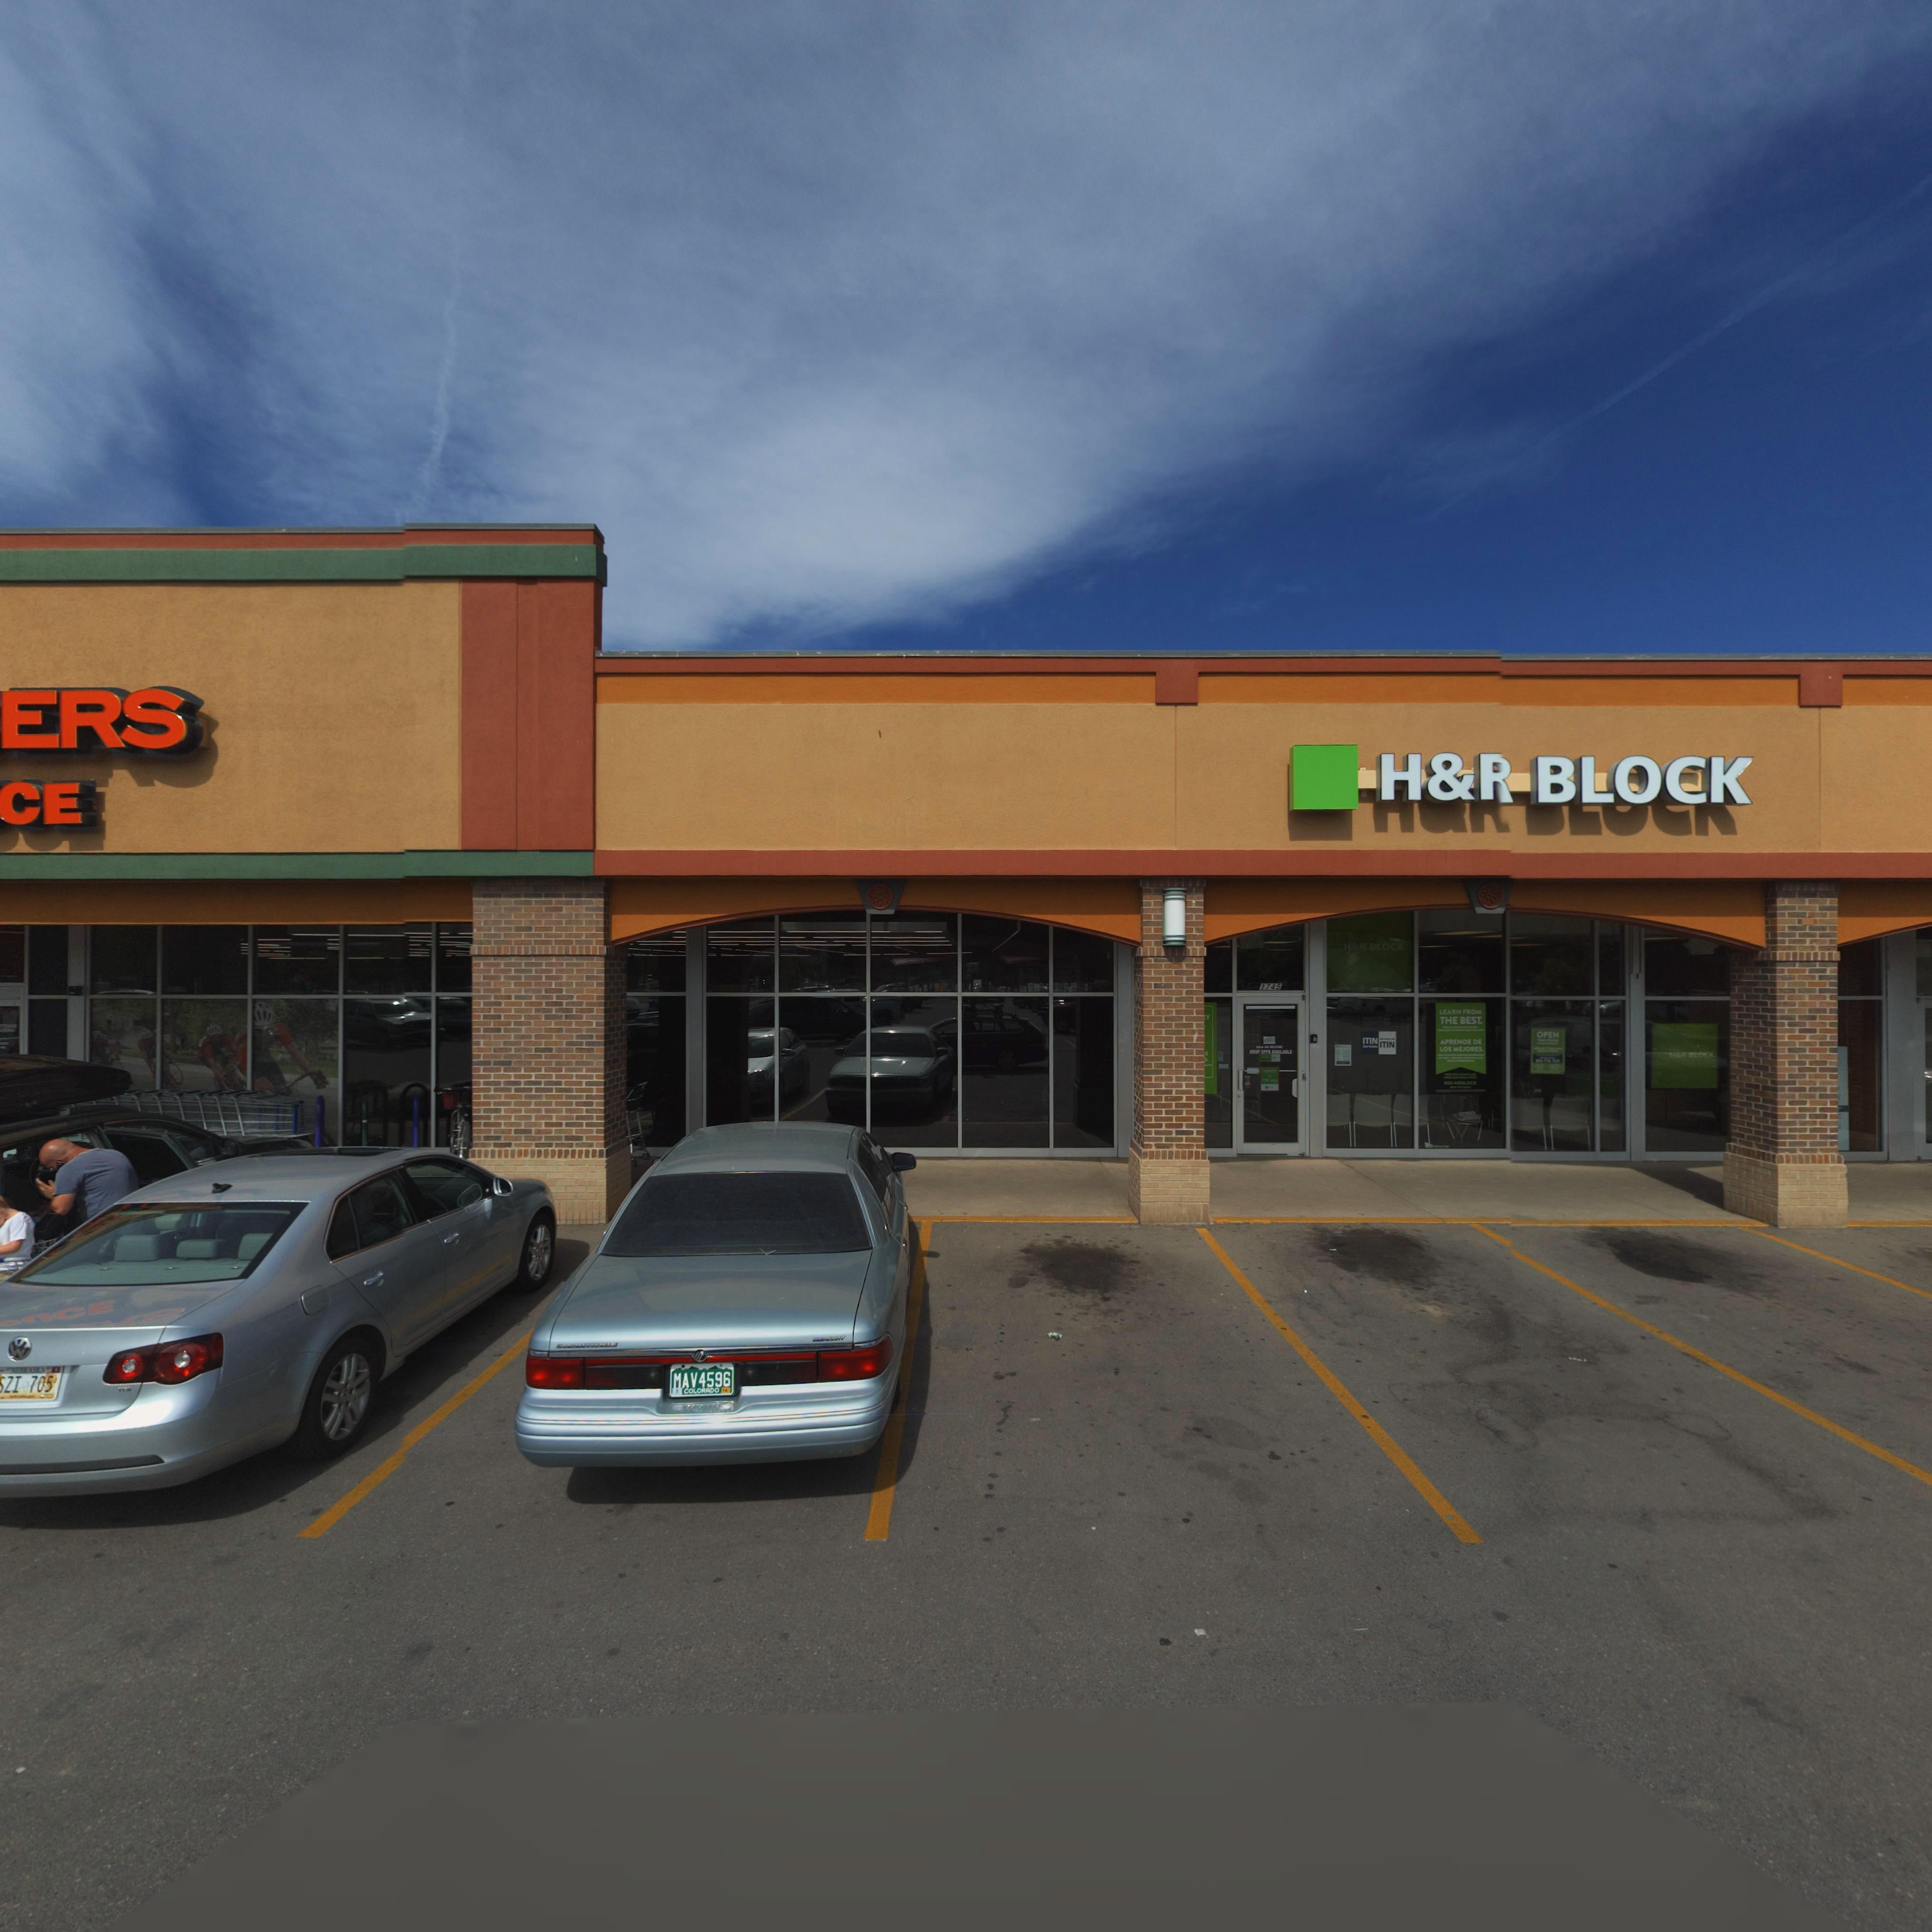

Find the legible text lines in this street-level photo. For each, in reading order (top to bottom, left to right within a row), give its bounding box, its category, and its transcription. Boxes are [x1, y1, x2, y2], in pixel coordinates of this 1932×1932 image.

[0, 686, 190, 752] BusinessName: ERS
[1376, 751, 1754, 805] BusinessName: H&R BLOCK
[0, 781, 84, 826] BusinessName: CE
[1344, 942, 1404, 951] BusinessName: H&R BLOCK
[1261, 983, 1281, 990] StreetNumber: 1745
[1669, 1051, 1715, 1058] BusinessName: H&R BLOCK